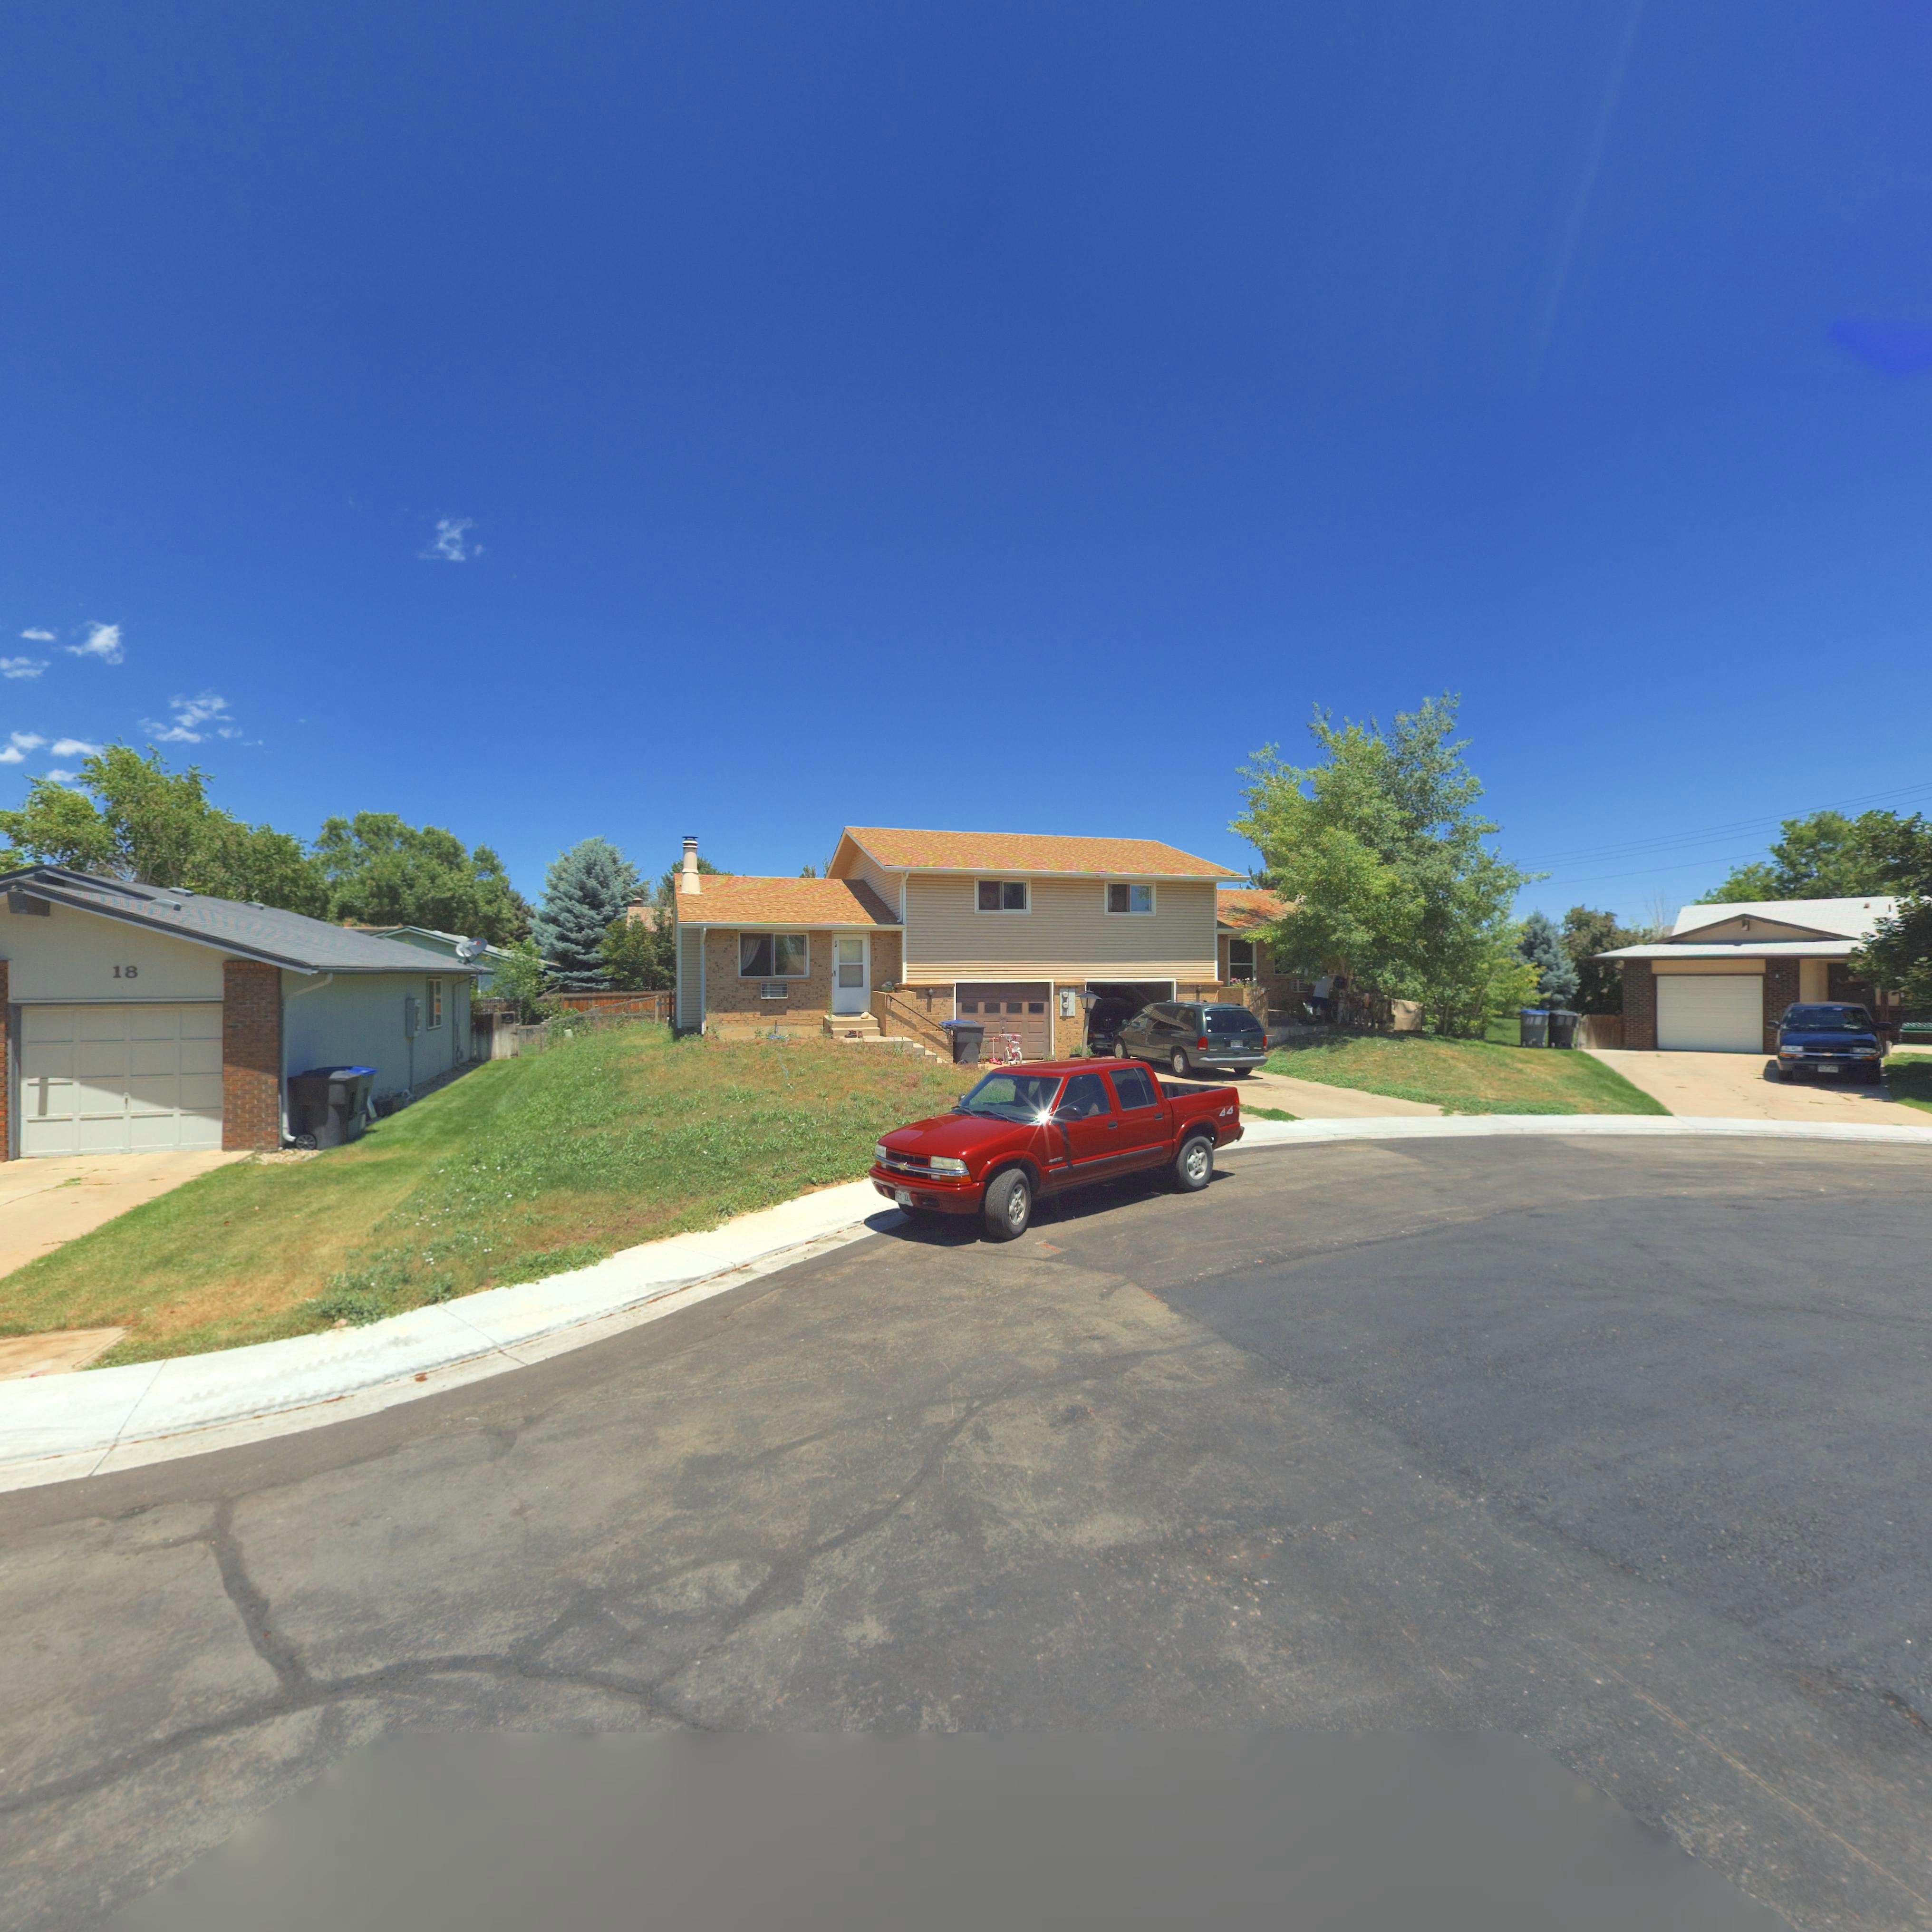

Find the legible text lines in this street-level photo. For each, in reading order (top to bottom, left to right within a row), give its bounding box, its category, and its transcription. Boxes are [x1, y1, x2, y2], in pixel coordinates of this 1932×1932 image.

[834, 940, 837, 944] StreetNumber: 1
[834, 943, 838, 947] StreetNumber: 4
[112, 965, 138, 979] StreetNumber: 18